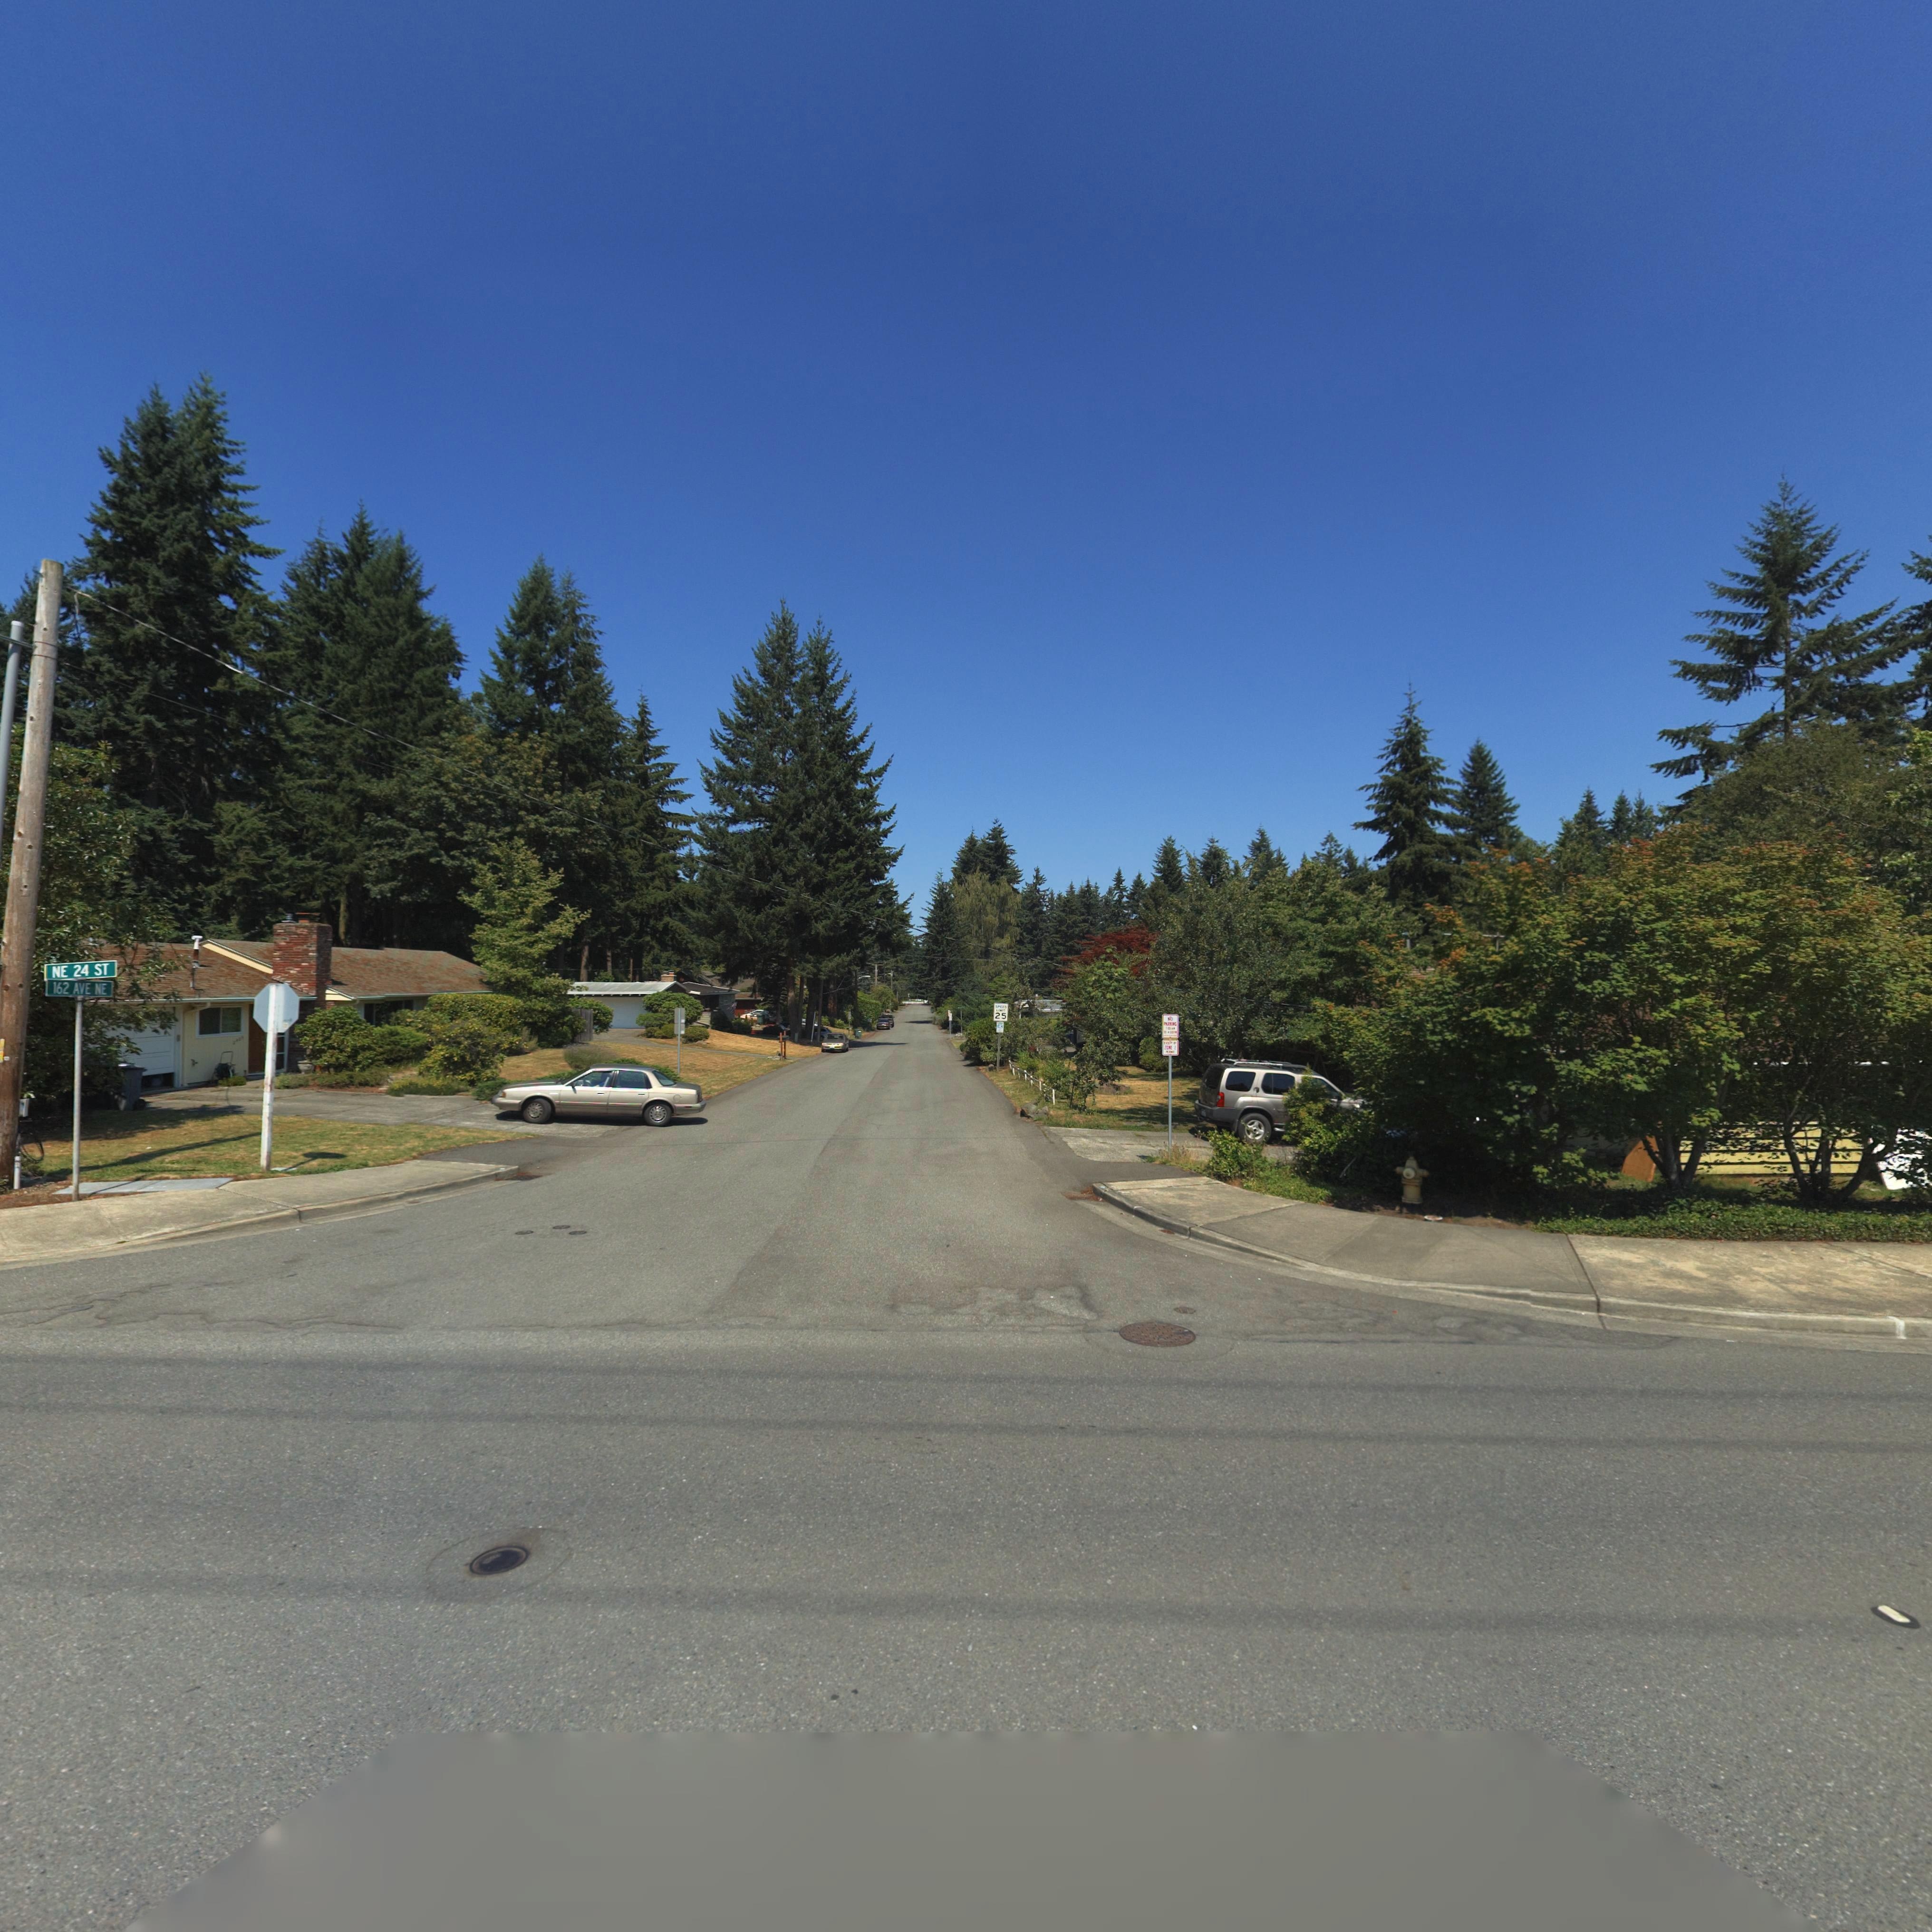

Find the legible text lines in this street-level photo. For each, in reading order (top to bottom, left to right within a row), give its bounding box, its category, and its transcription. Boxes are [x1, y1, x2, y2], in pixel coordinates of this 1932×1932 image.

[52, 963, 110, 978] StreetName: NE 24 ST
[53, 982, 106, 994] StreetName: 162 AVE NE